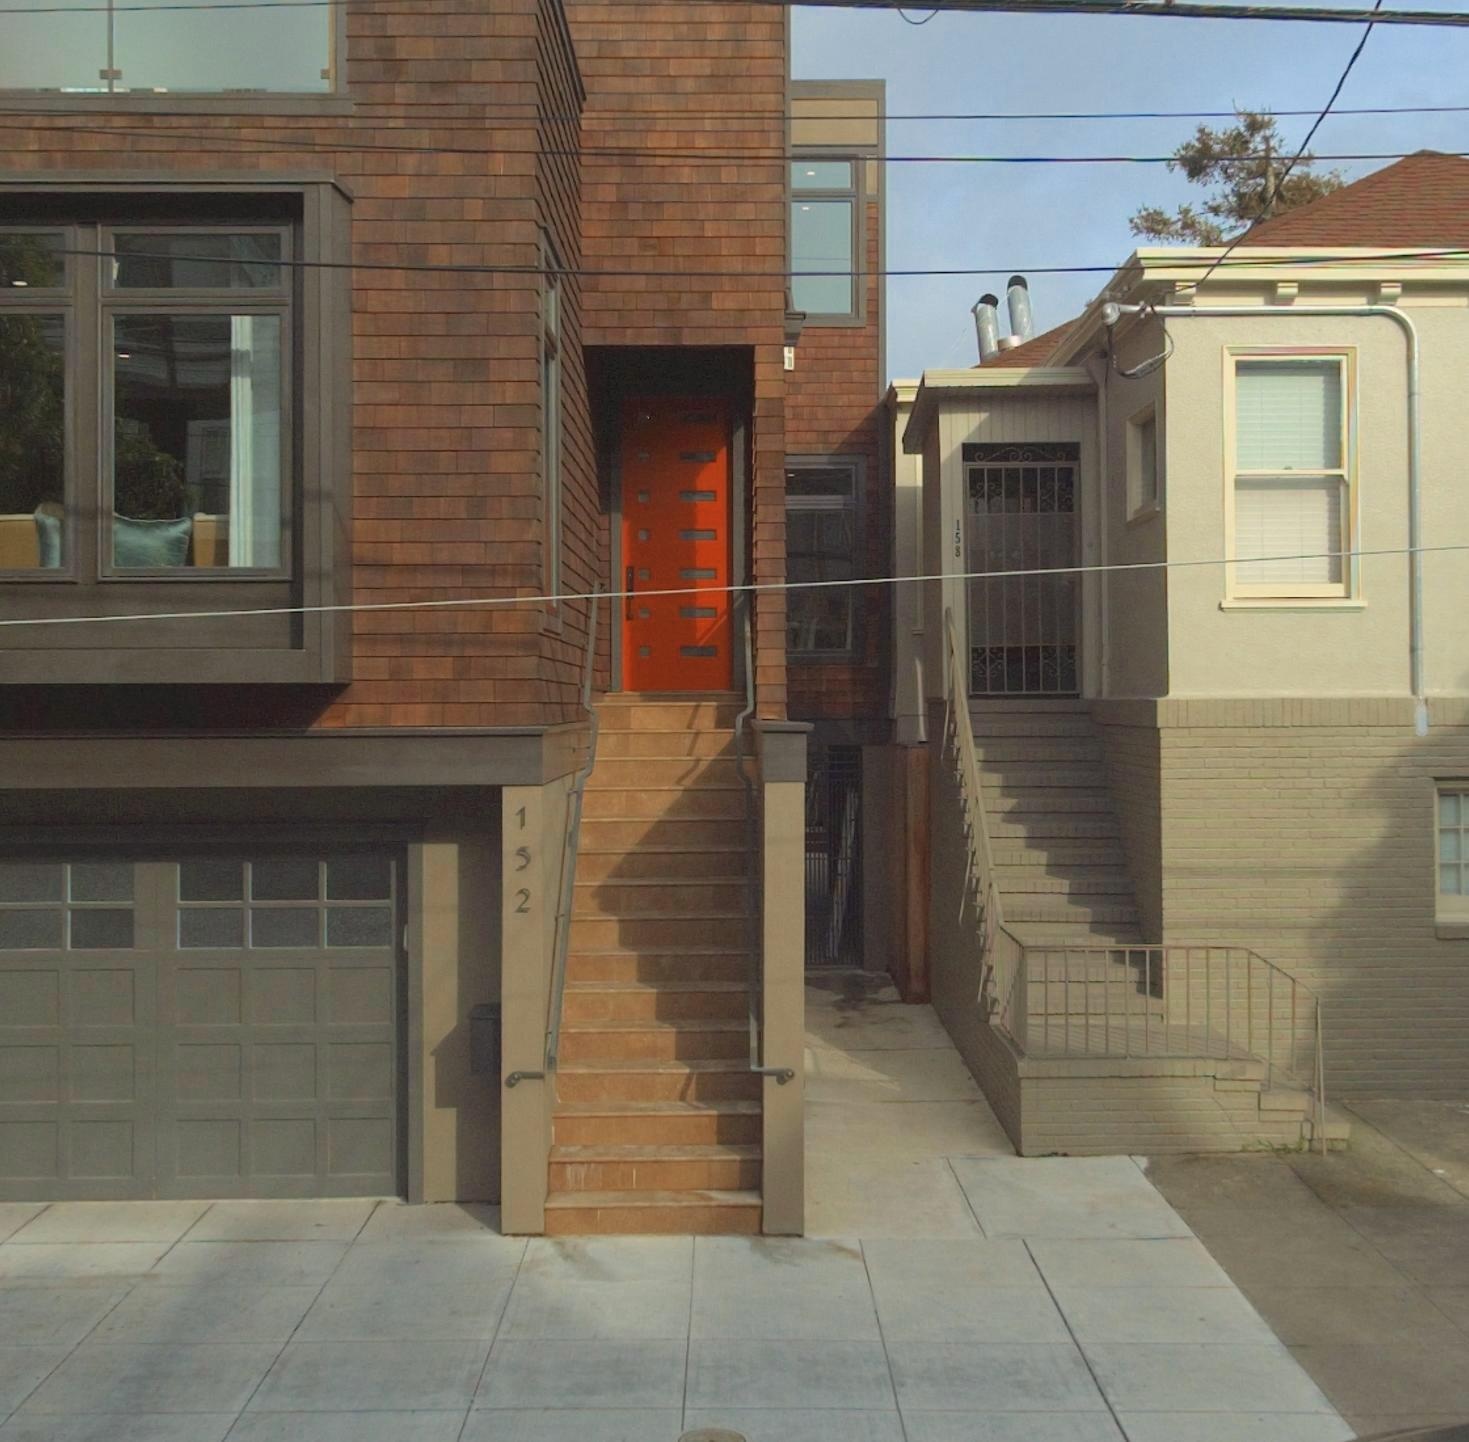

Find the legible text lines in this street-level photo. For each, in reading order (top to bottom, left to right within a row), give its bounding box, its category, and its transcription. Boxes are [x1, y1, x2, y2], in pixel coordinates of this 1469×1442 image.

[954, 518, 962, 558] StreetNumber: 158
[515, 805, 532, 914] StreetNumber: 152